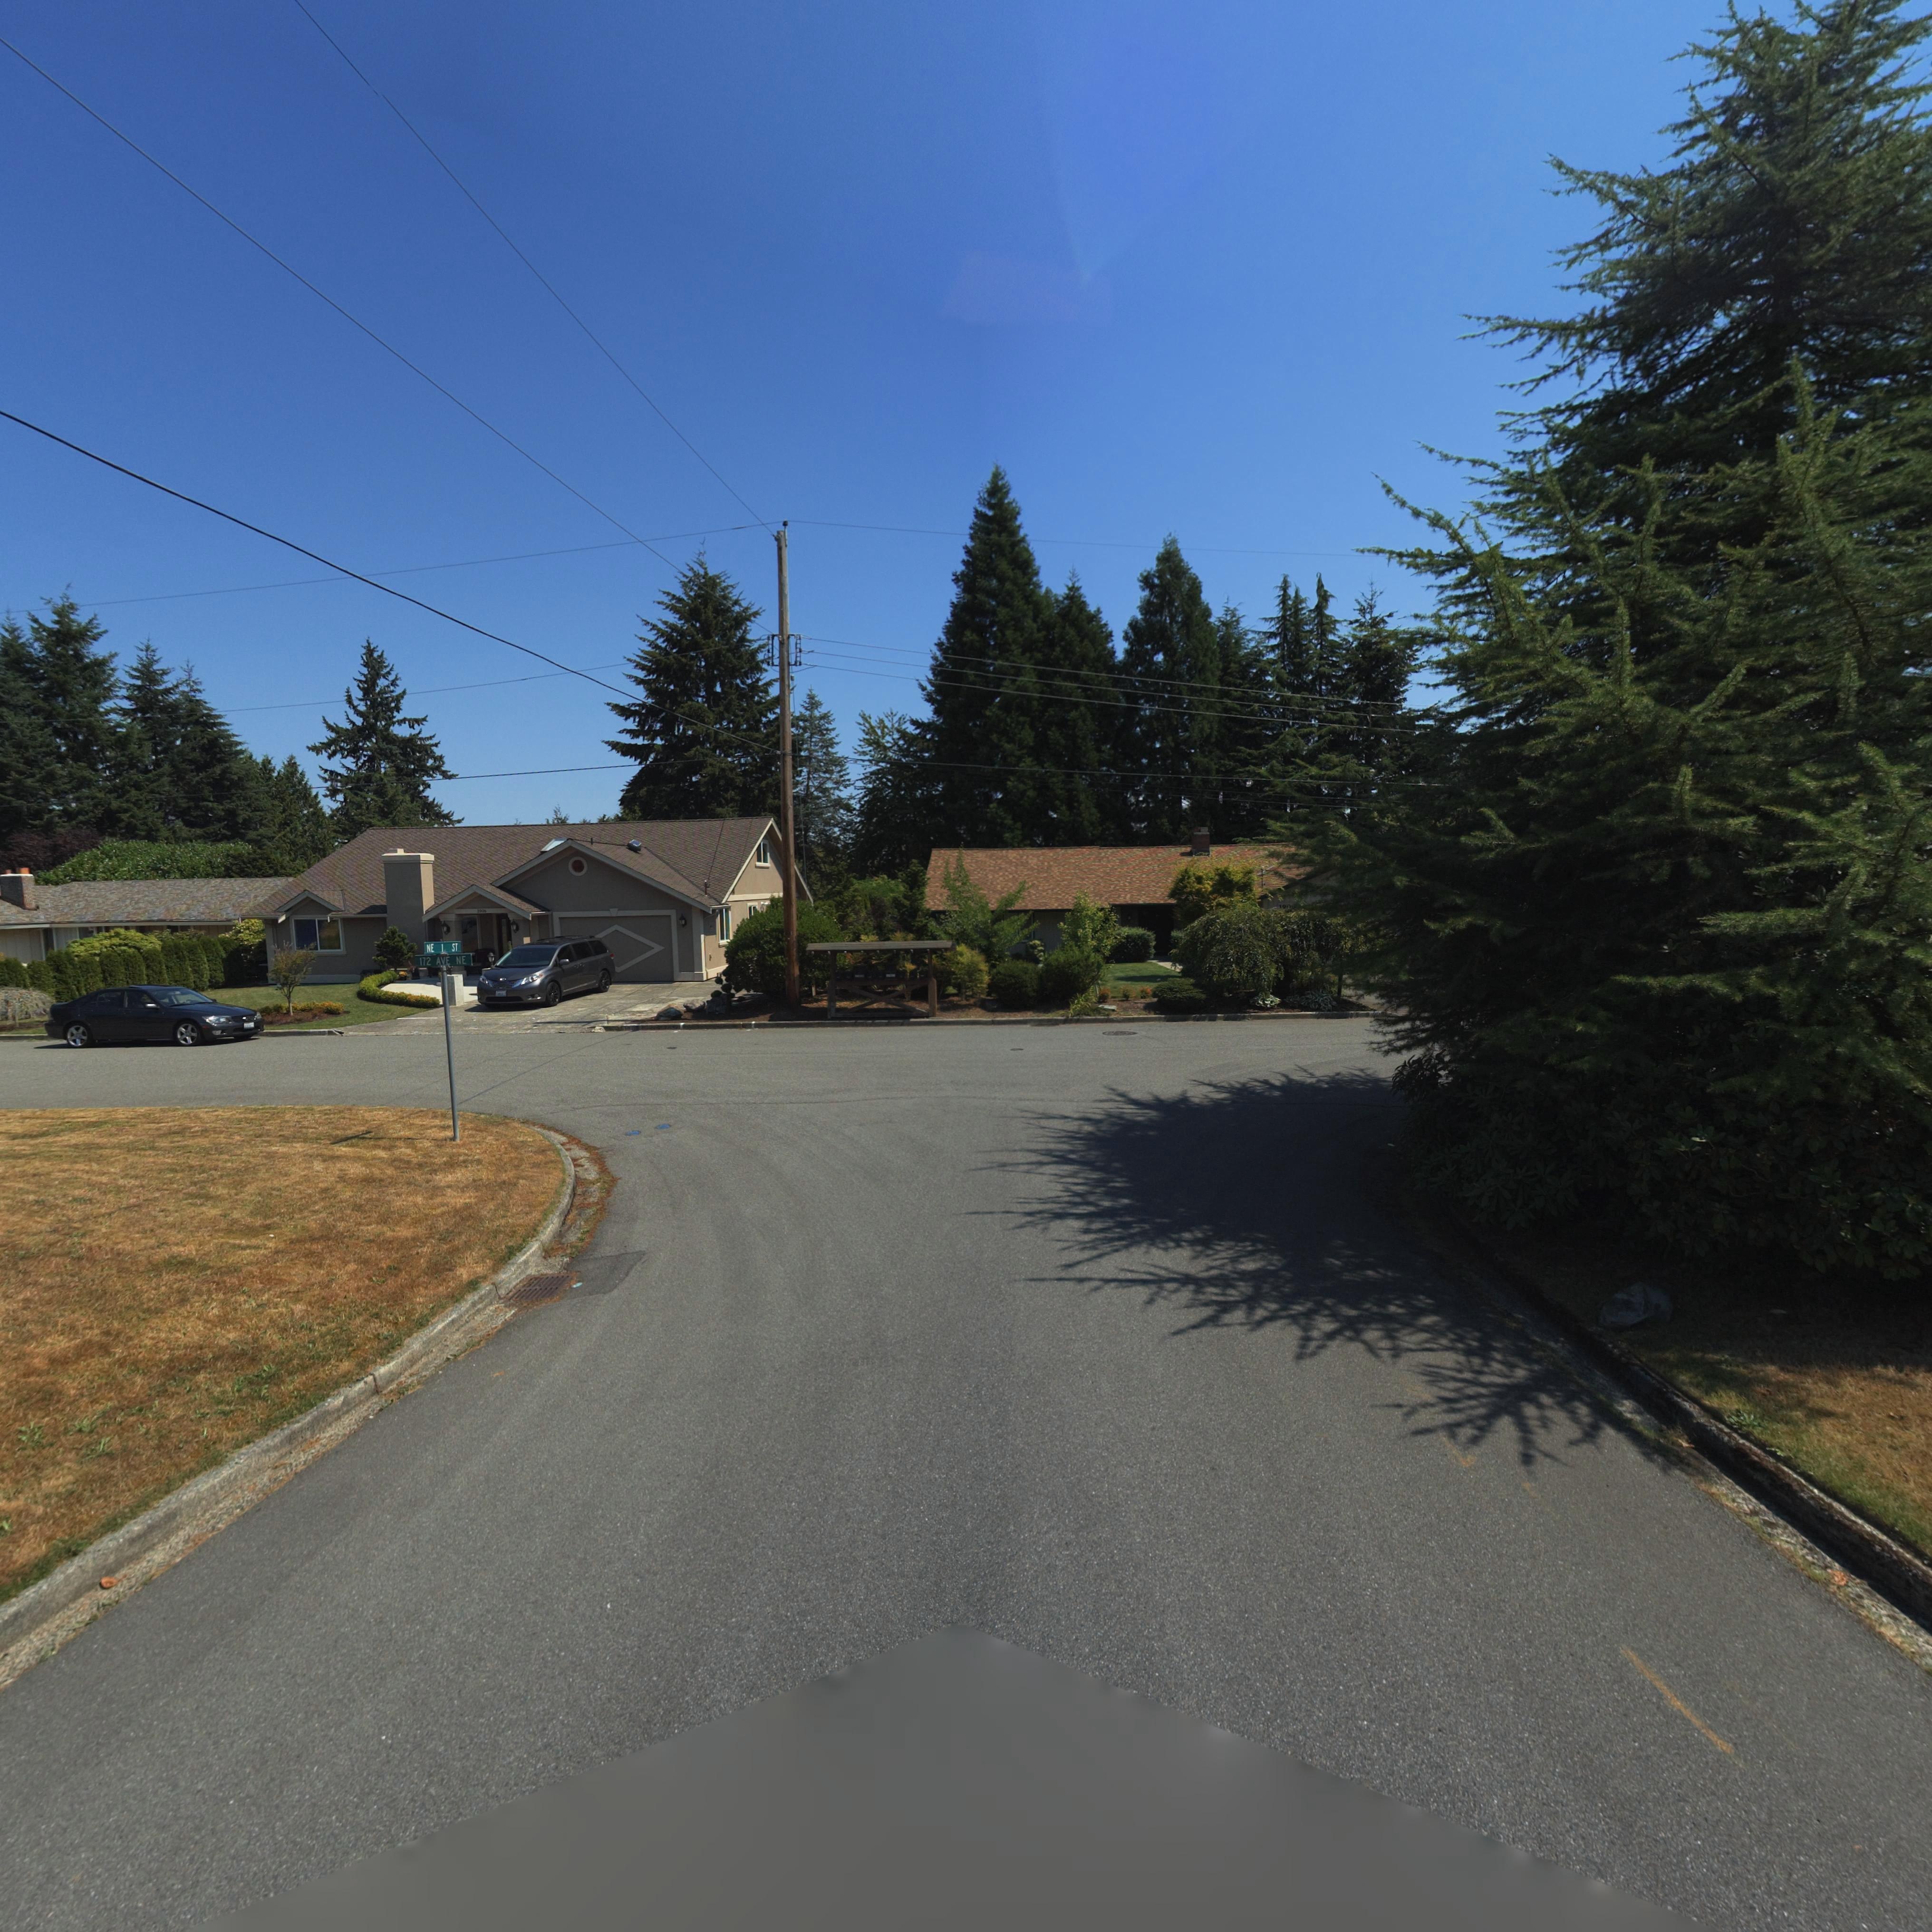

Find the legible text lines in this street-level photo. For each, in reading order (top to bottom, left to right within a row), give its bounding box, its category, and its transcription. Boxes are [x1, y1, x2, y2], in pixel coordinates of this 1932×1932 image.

[426, 943, 459, 952] StreetName: NE 1 ST
[420, 956, 465, 965] StreetName: 172 AVE NE